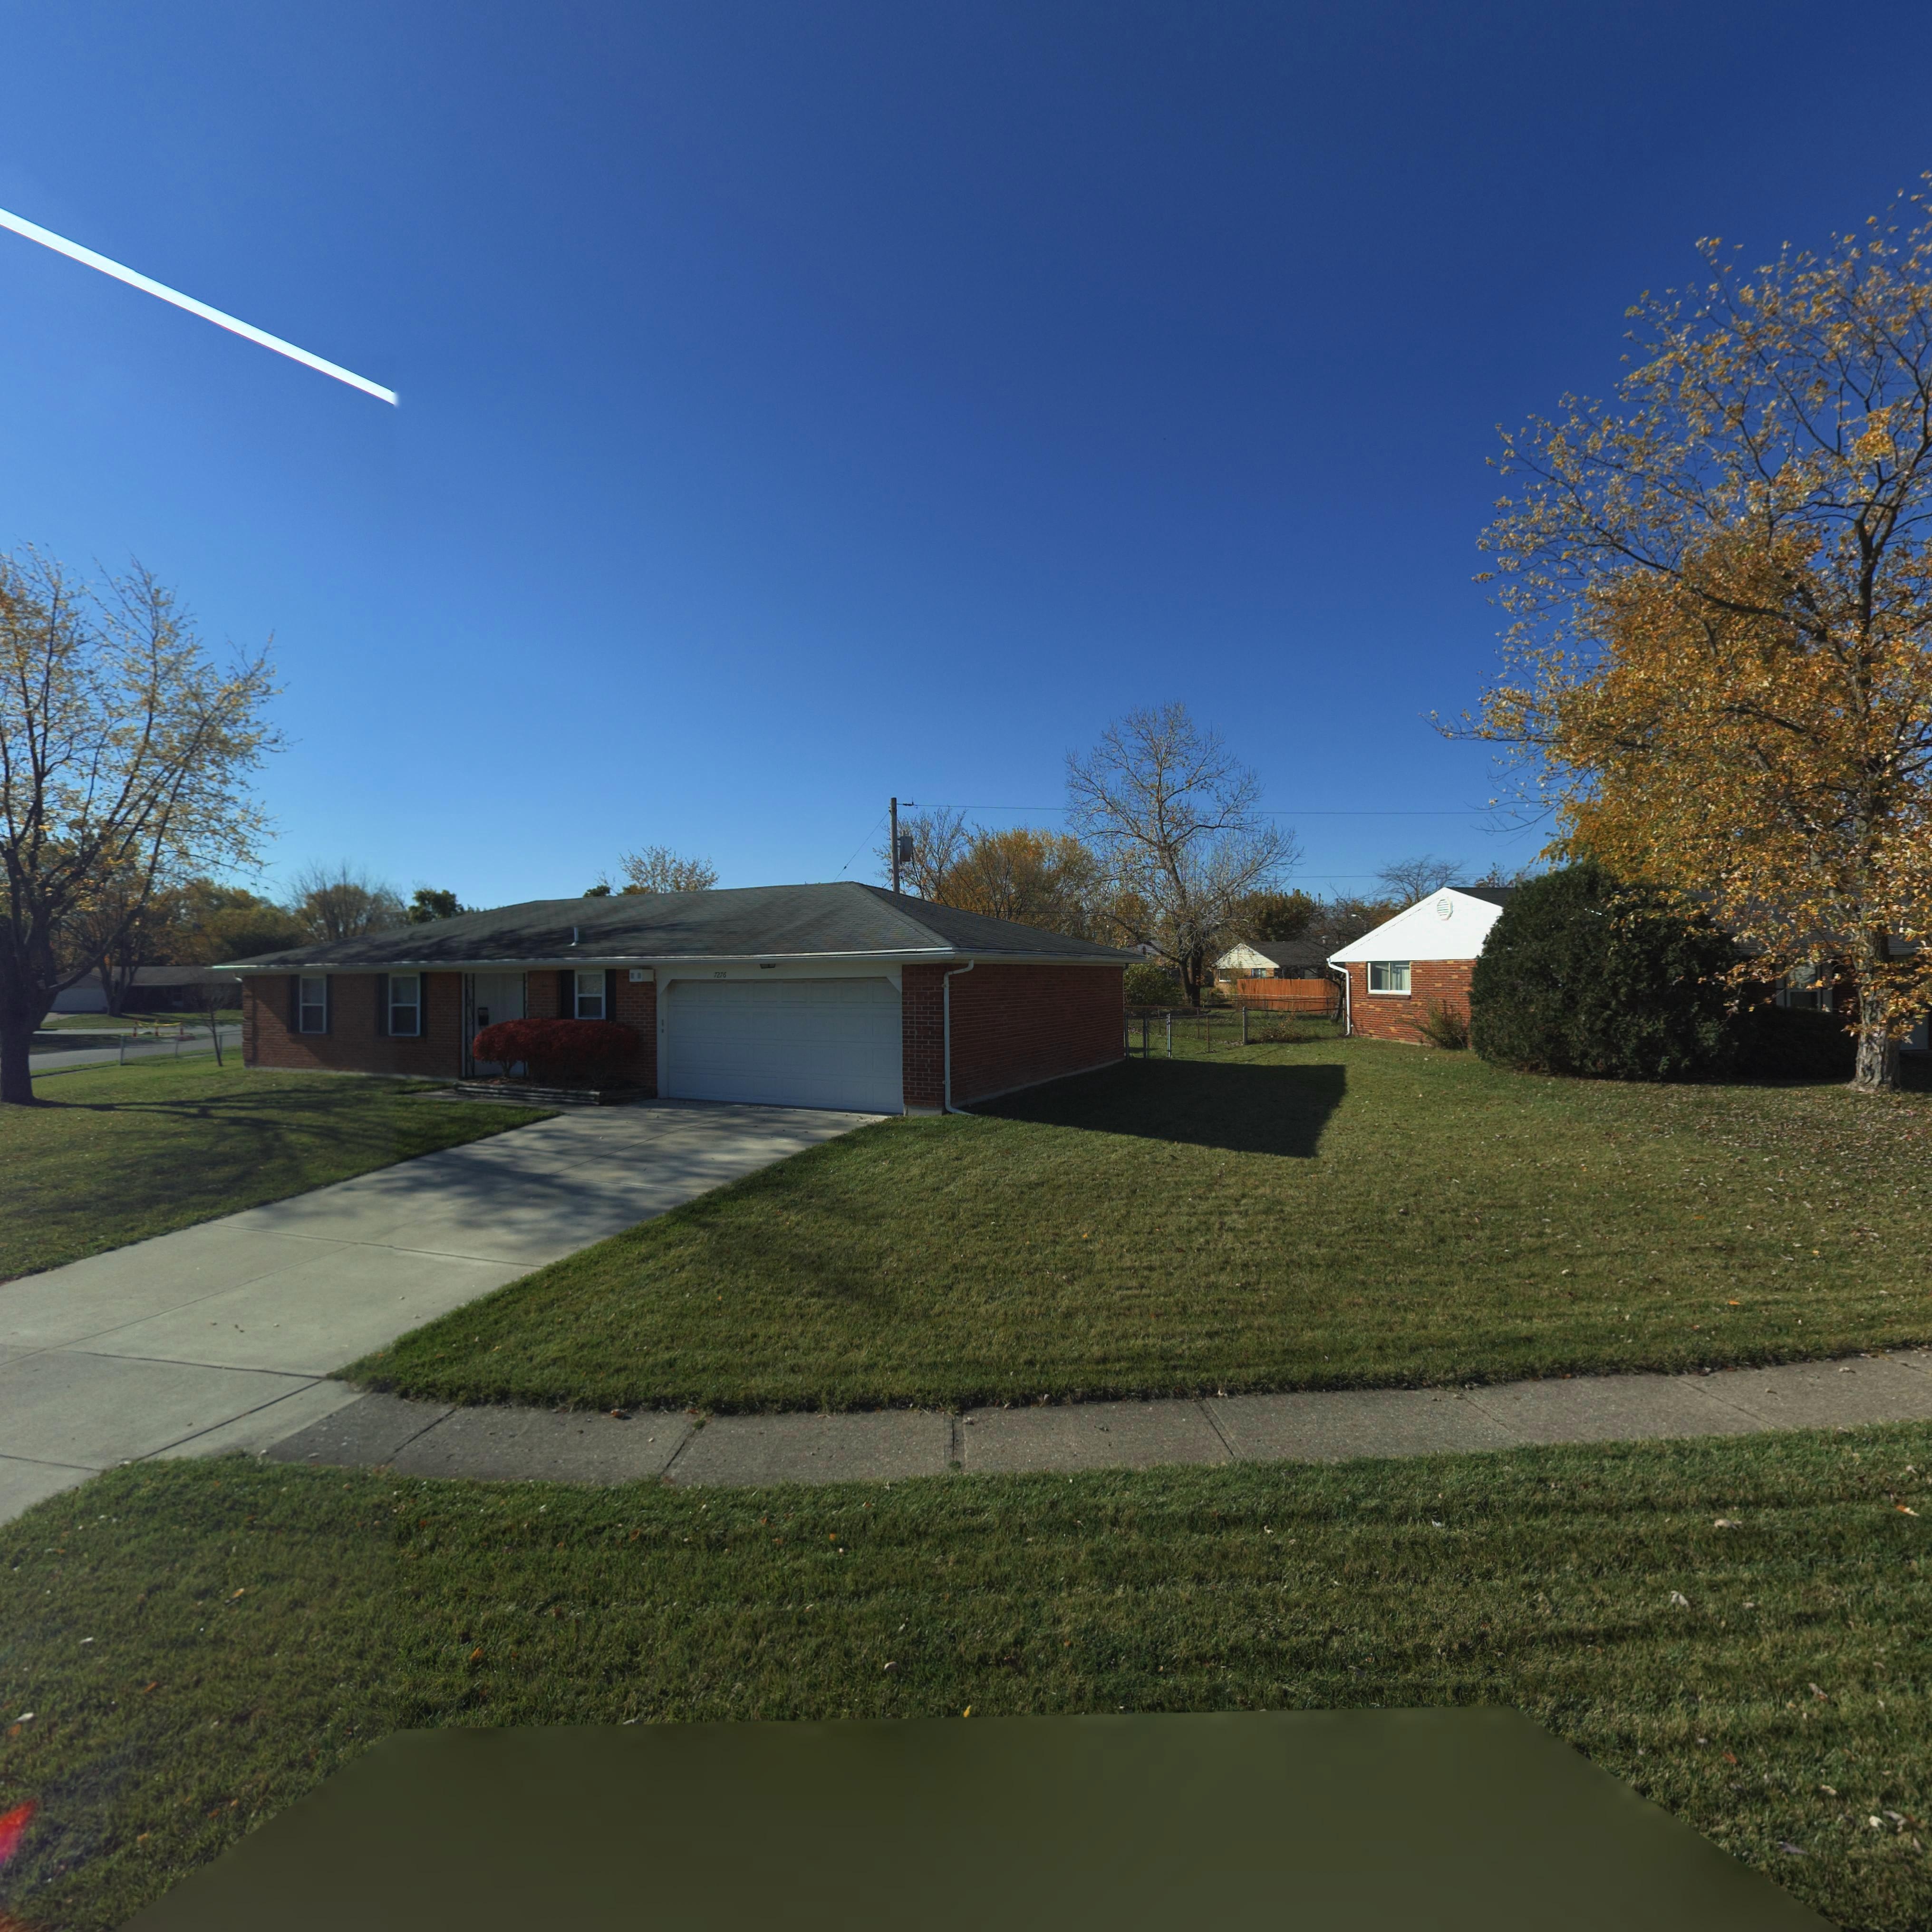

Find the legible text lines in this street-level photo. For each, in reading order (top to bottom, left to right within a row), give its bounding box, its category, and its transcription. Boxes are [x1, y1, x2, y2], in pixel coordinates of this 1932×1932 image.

[712, 971, 728, 979] StreetNumber: 7276